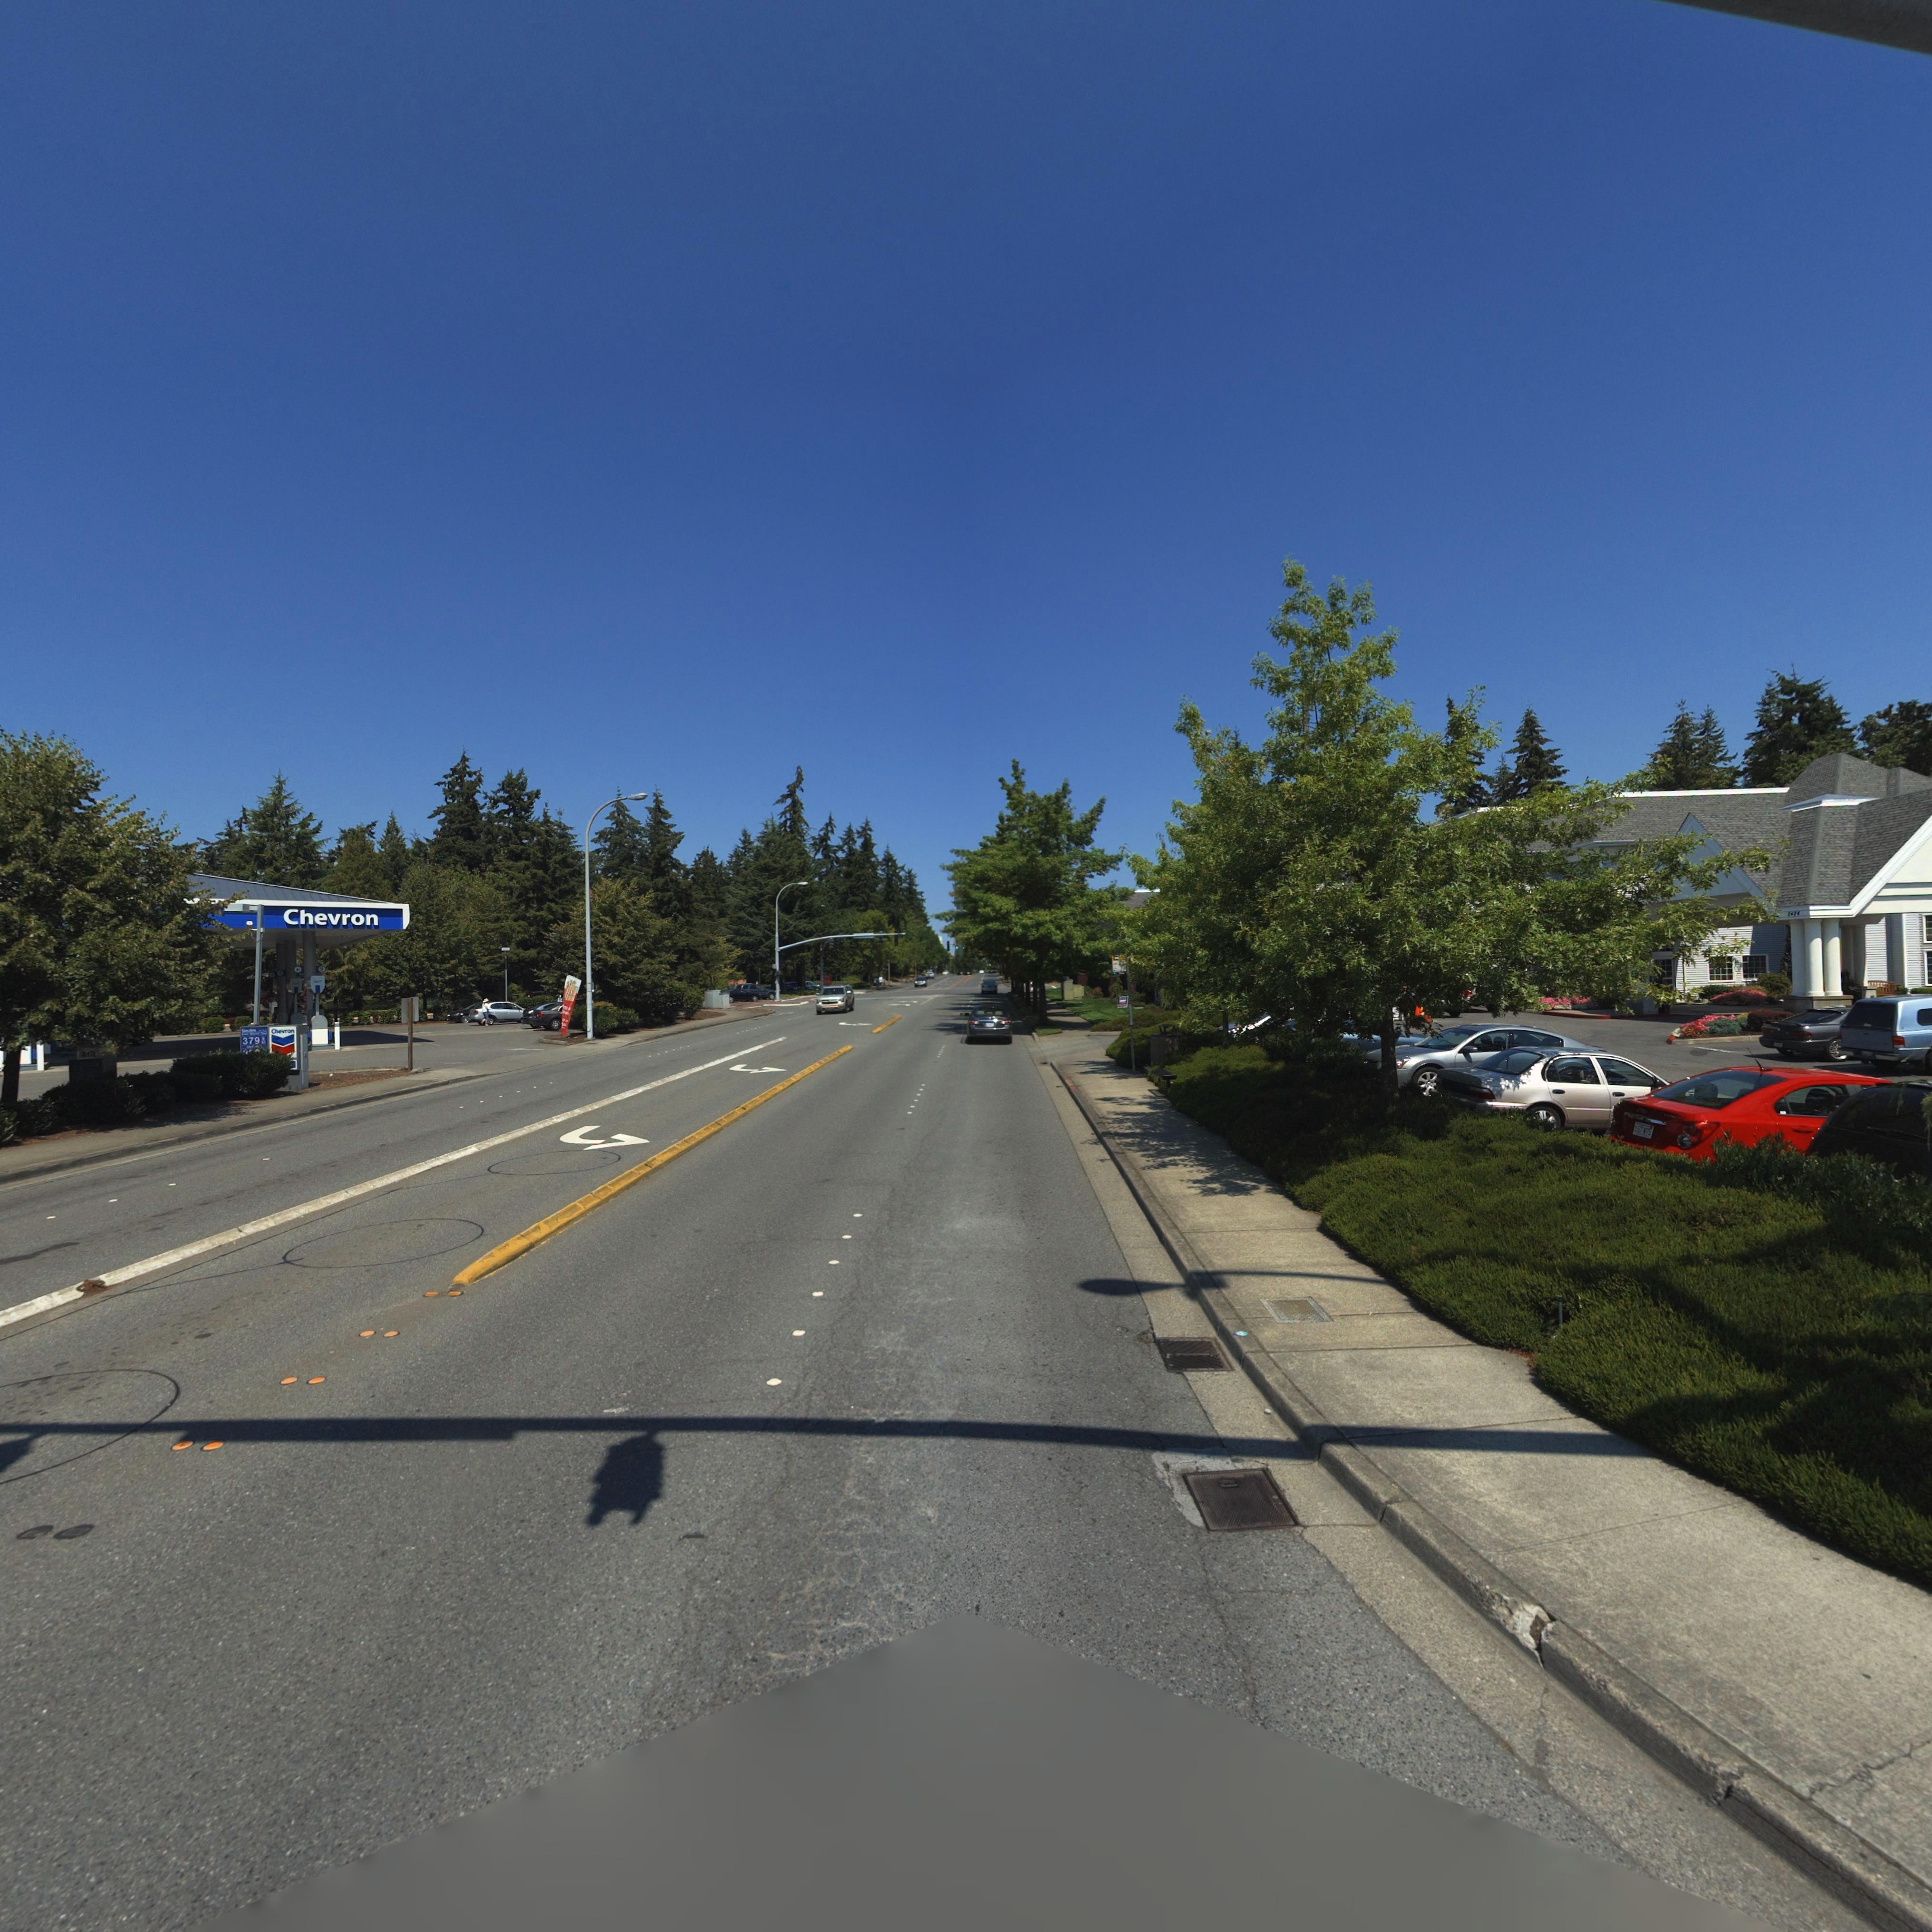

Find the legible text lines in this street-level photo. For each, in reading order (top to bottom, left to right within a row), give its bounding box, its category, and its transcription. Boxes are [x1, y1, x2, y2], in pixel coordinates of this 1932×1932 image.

[283, 909, 377, 925] BusinessName: Chevron